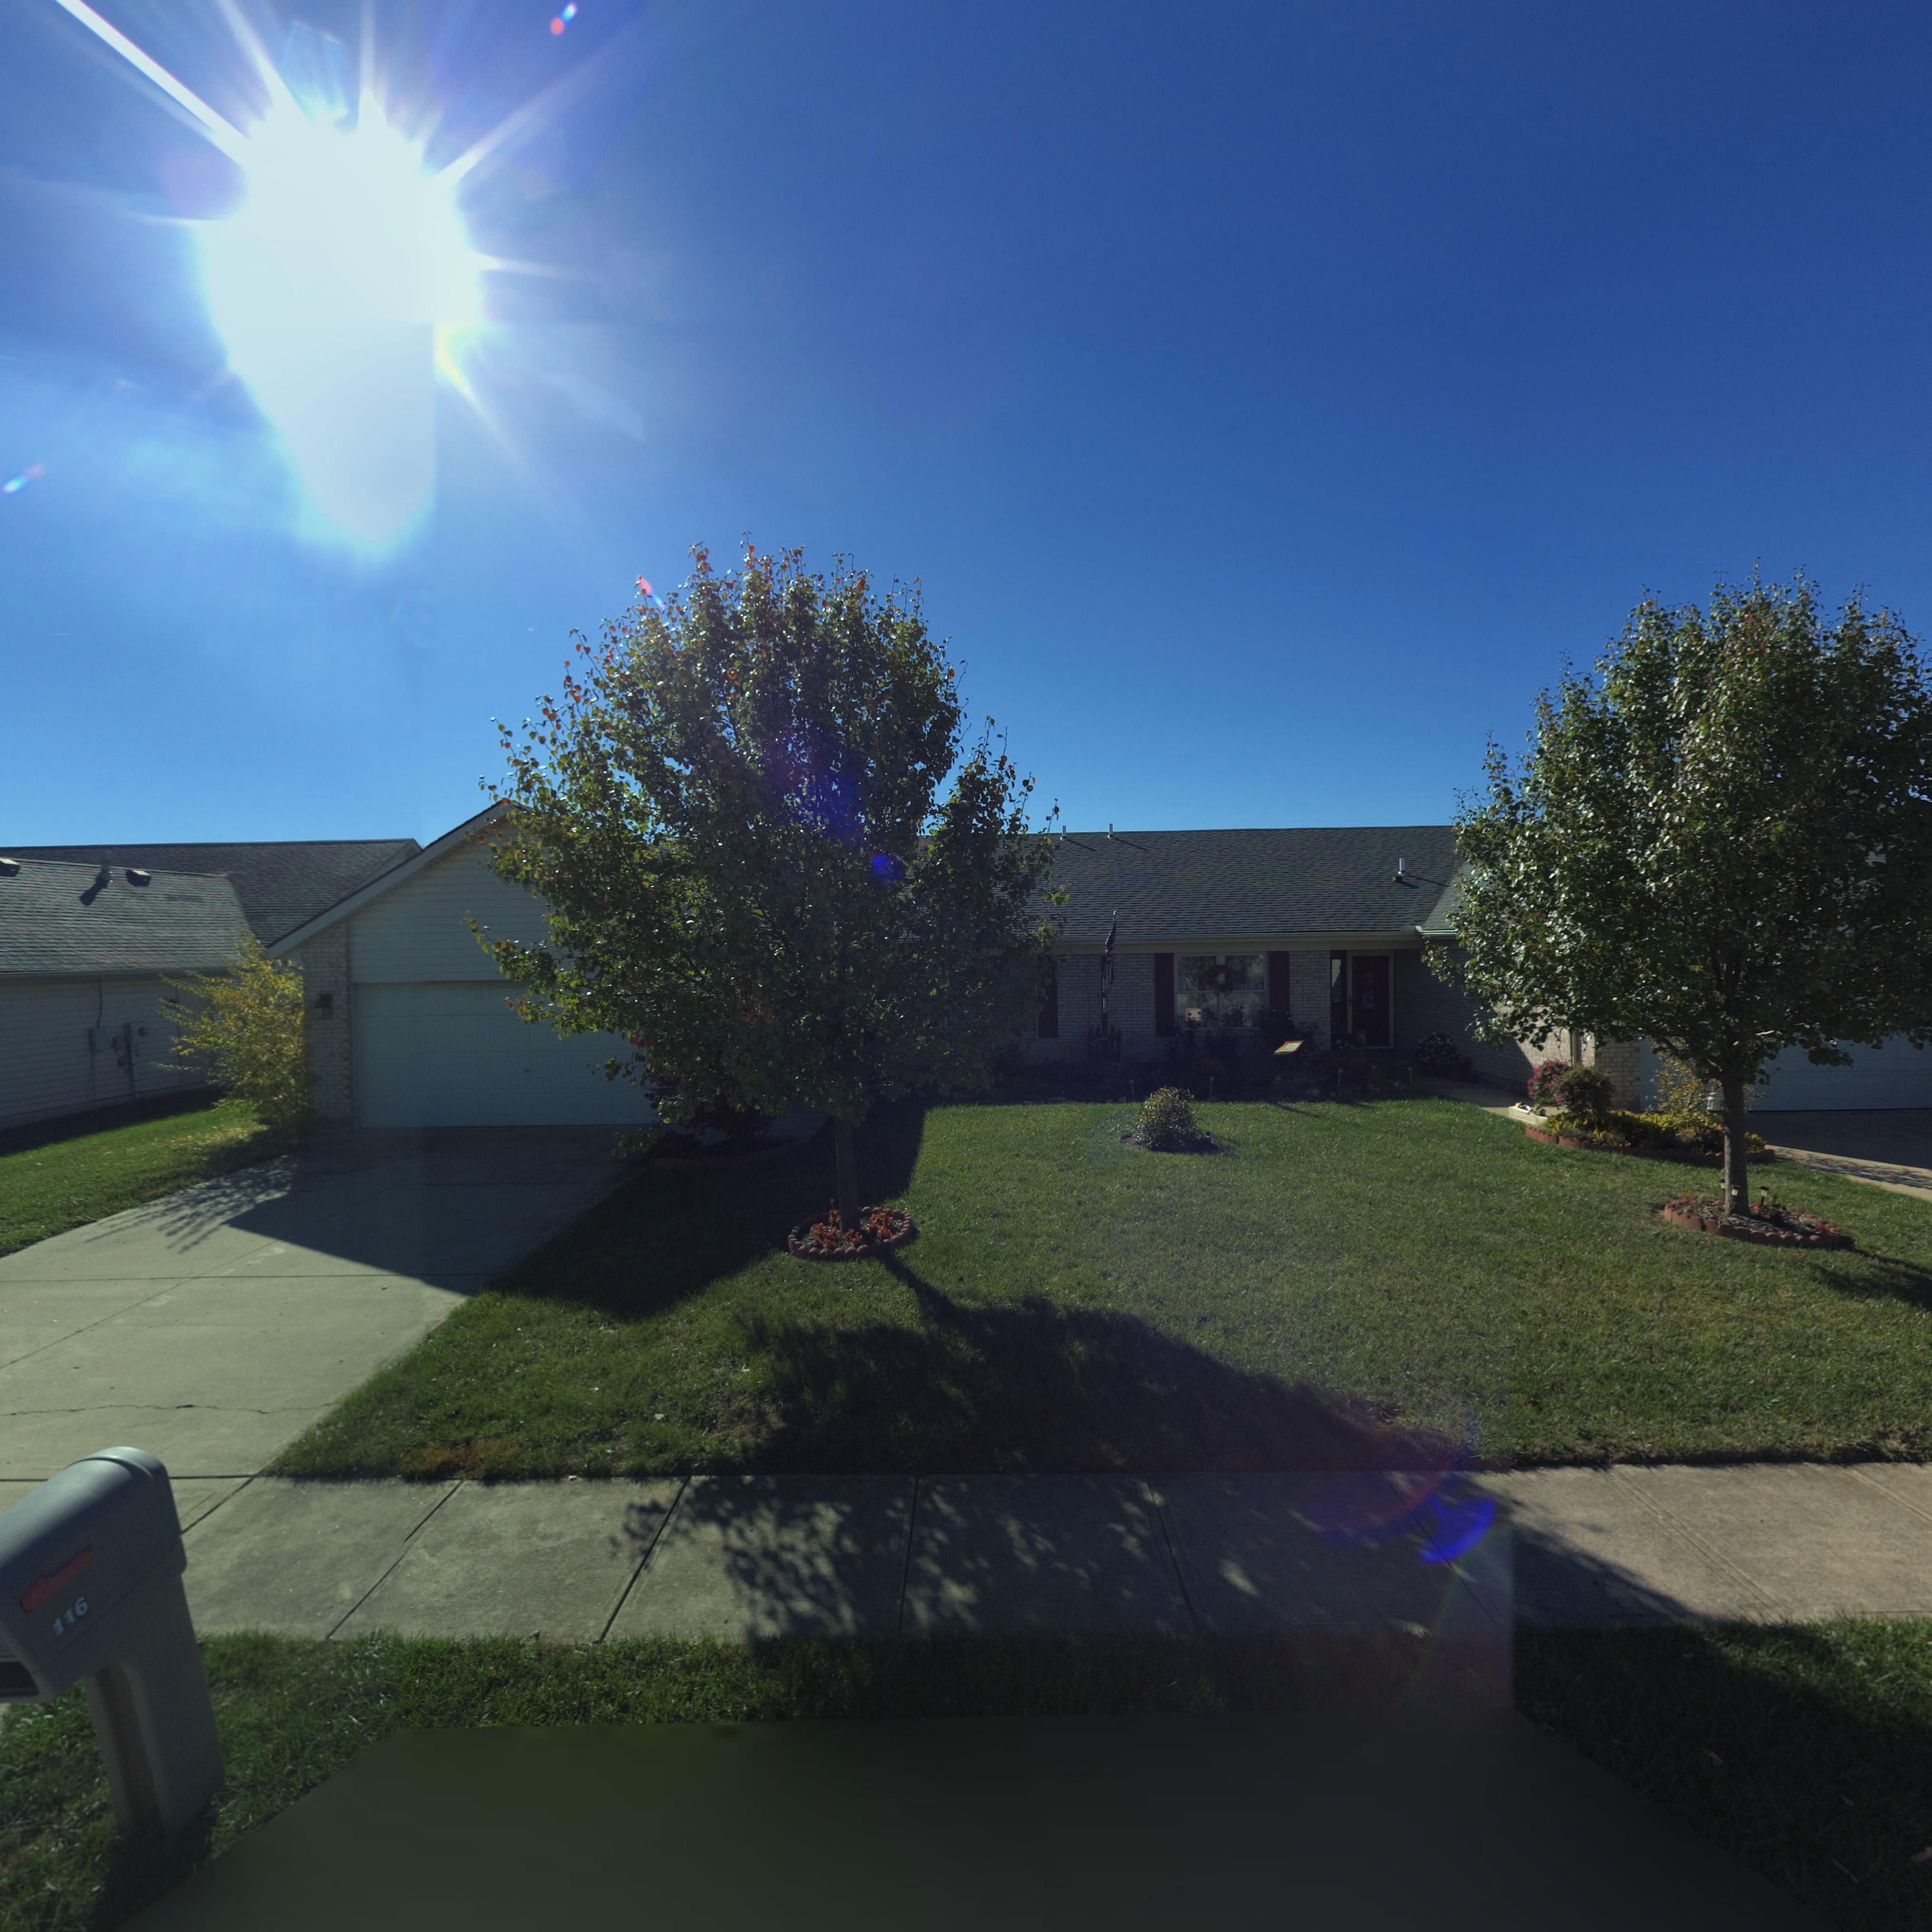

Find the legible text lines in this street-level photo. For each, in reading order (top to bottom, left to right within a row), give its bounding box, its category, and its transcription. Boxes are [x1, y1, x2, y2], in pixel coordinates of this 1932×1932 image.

[49, 1593, 90, 1638] StreetNumber: 116